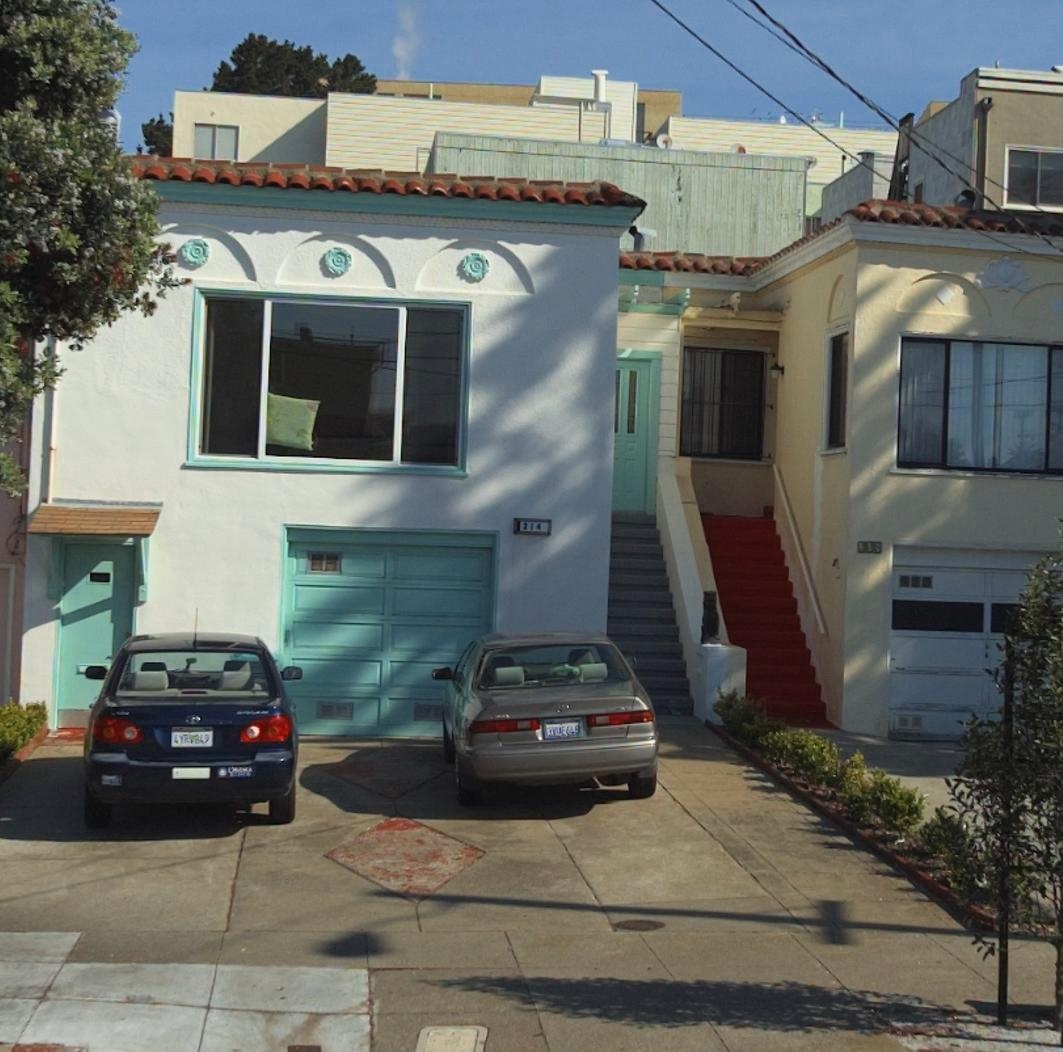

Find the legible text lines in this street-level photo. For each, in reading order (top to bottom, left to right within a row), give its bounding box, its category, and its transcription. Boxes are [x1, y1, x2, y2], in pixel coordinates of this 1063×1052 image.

[520, 520, 544, 531] StreetNumber: 214